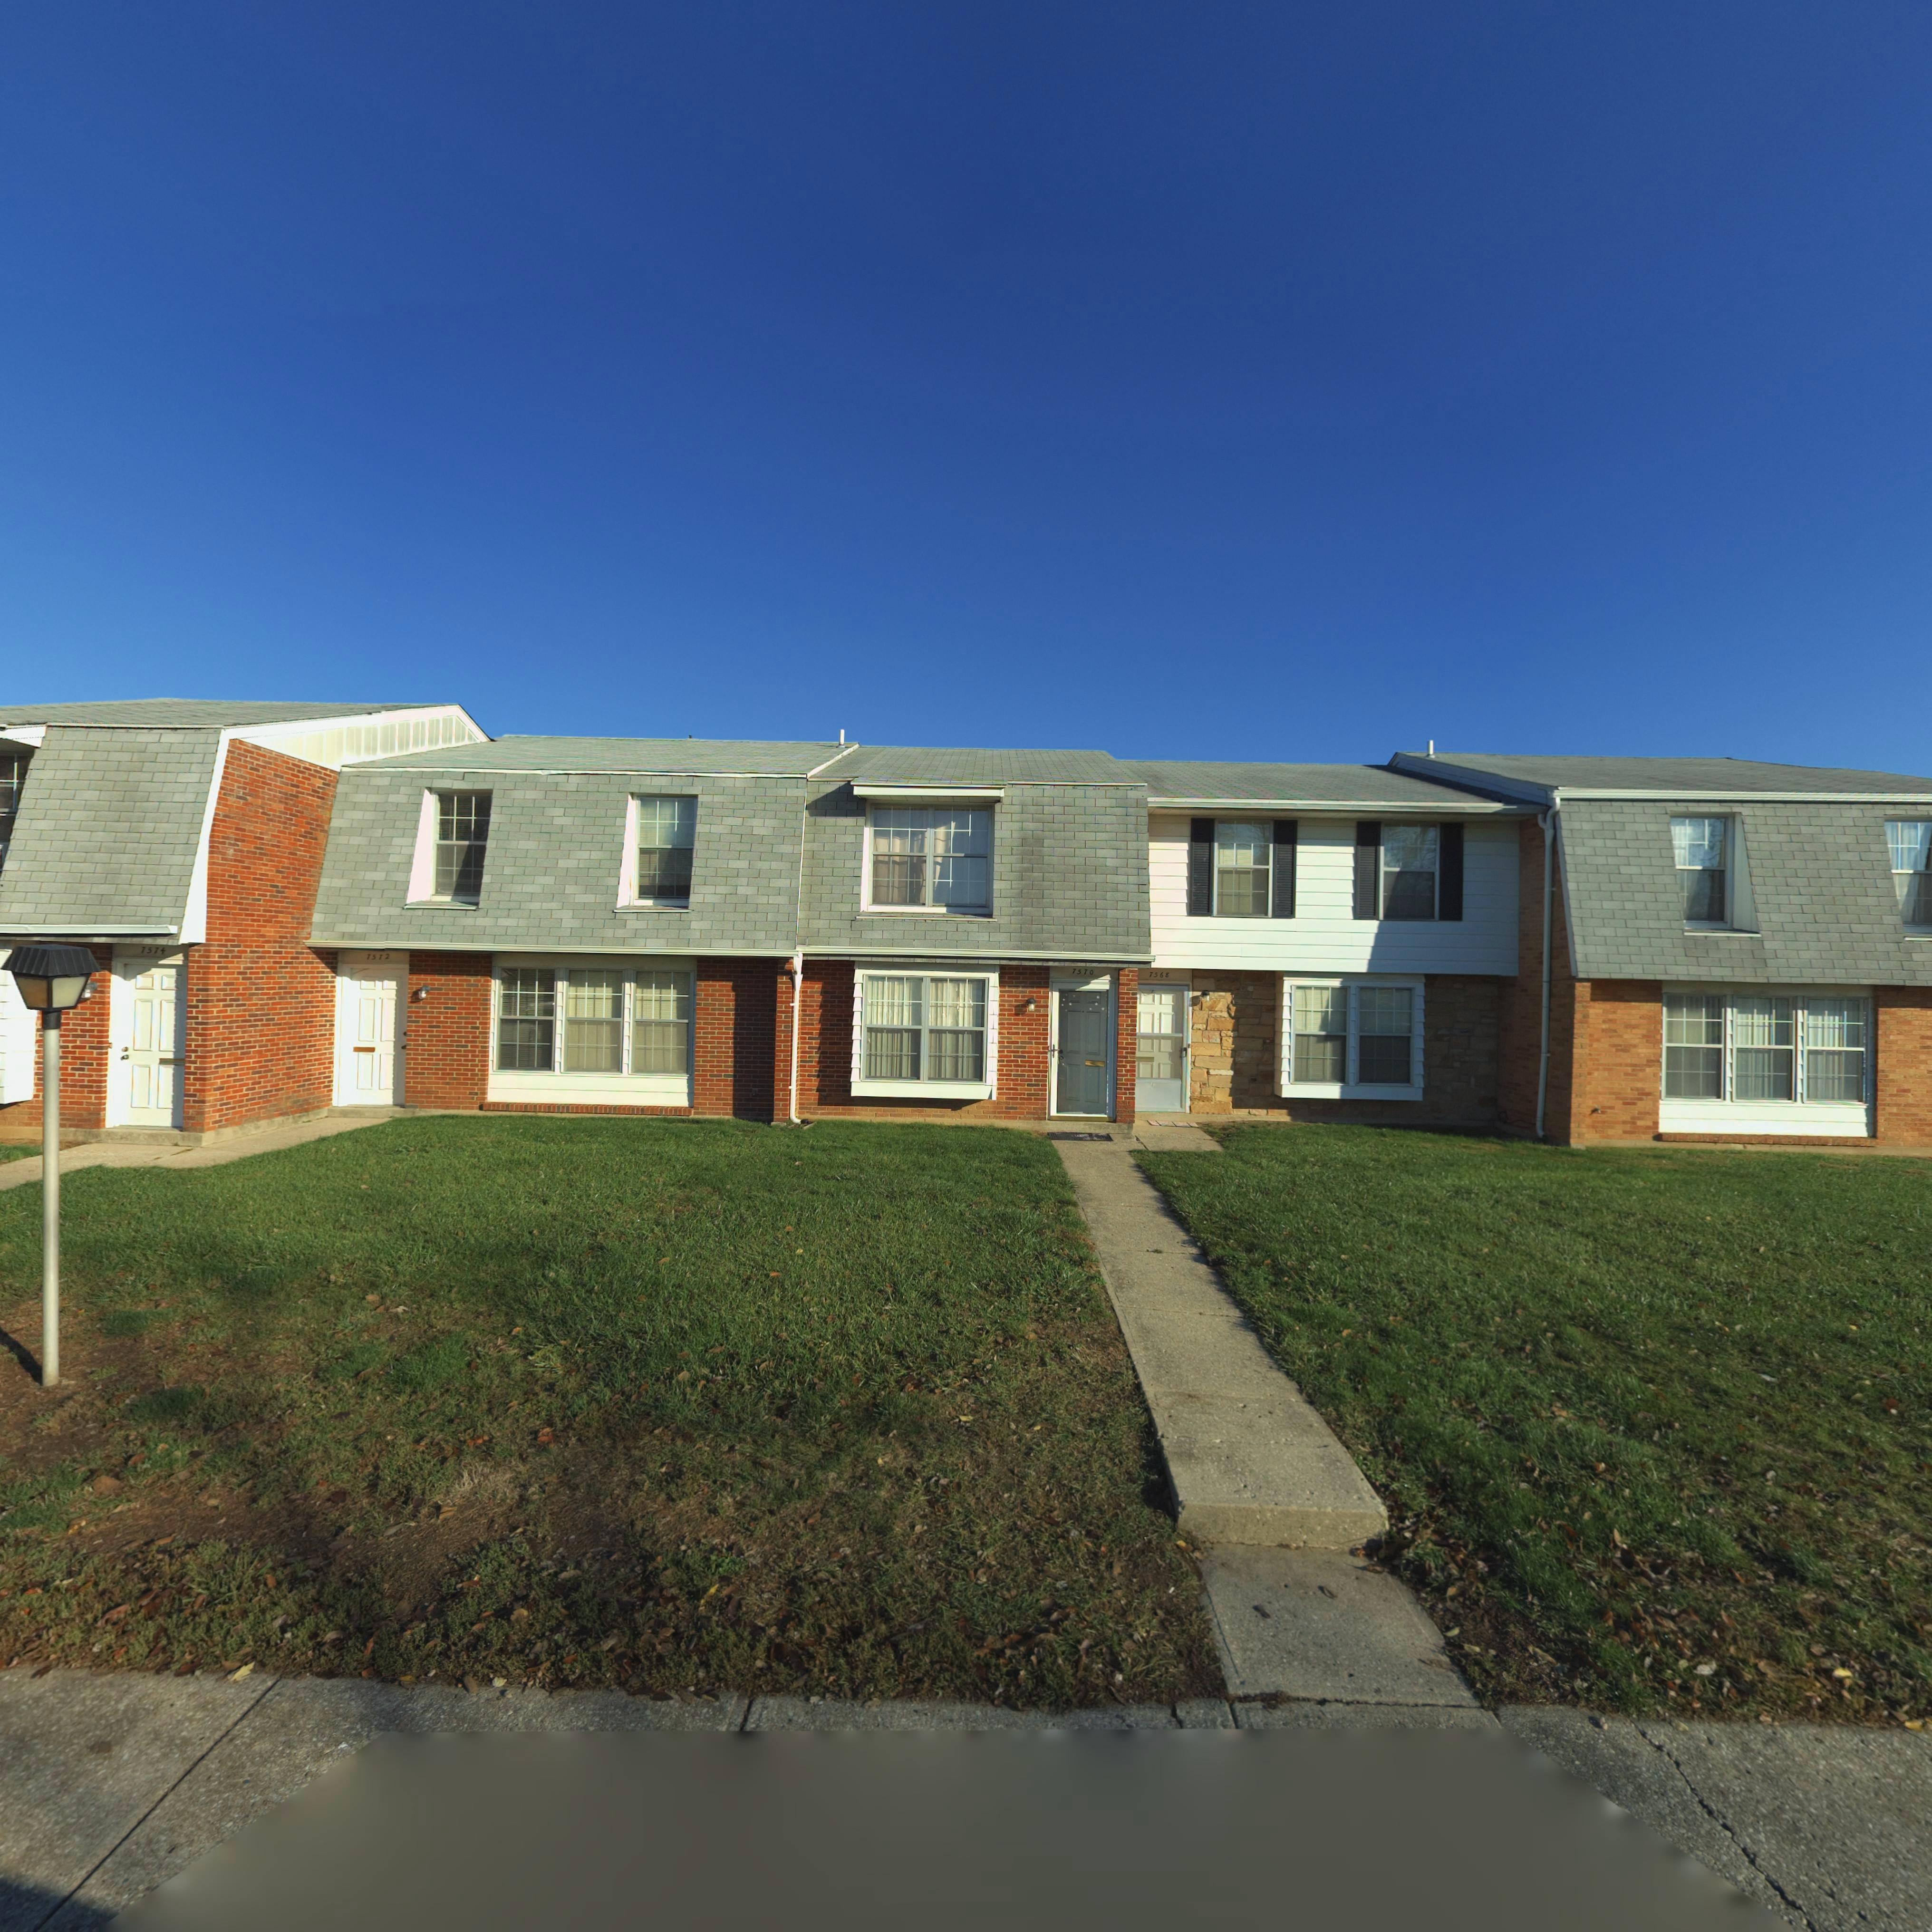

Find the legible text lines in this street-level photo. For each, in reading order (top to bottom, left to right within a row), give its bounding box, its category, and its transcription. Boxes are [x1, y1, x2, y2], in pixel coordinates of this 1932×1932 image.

[140, 946, 167, 956] StreetNumber: 7574
[365, 952, 391, 961] StreetNumber: 7572
[1070, 967, 1095, 977] StreetNumber: 7570
[1148, 971, 1170, 979] StreetNumber: 7568